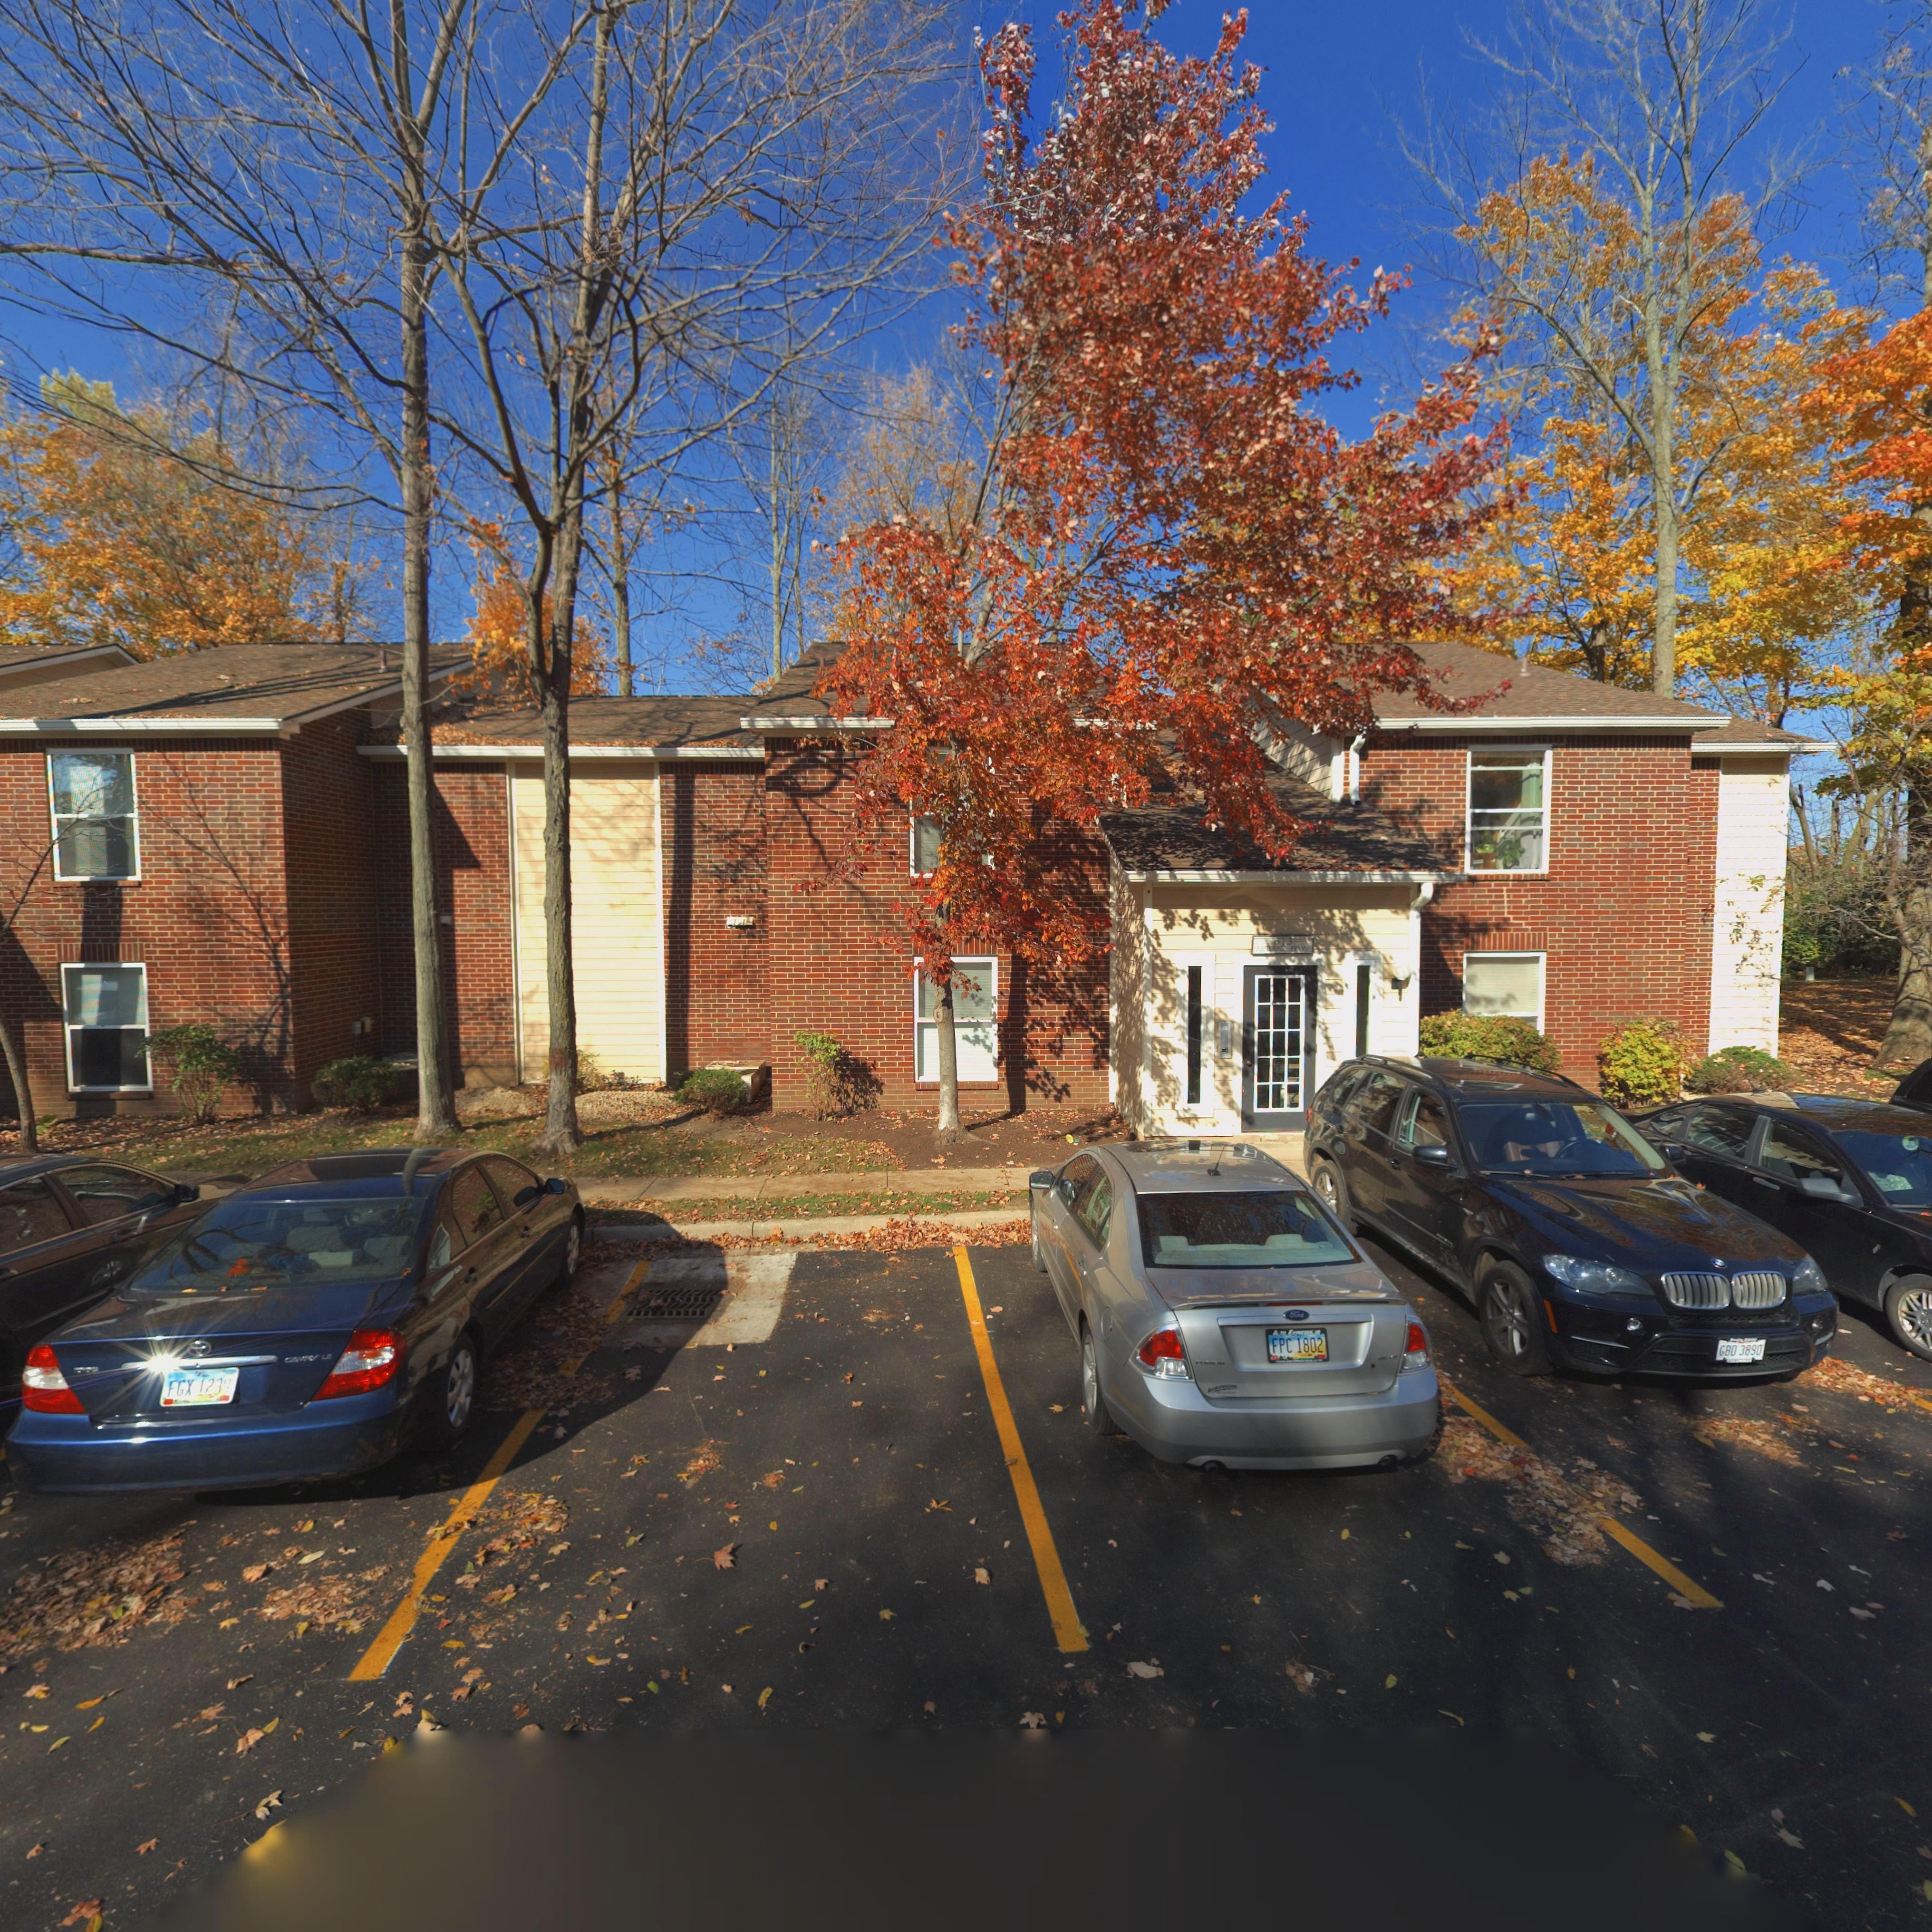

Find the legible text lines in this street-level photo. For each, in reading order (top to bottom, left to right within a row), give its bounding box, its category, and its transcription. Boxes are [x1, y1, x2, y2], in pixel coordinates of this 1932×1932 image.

[1273, 936, 1293, 947] StreetNumber: 613
[1270, 1336, 1325, 1355] None: FPC 1802
[1719, 1343, 1763, 1357] None: GBD 3890
[166, 1375, 233, 1397] None: FGX 123*